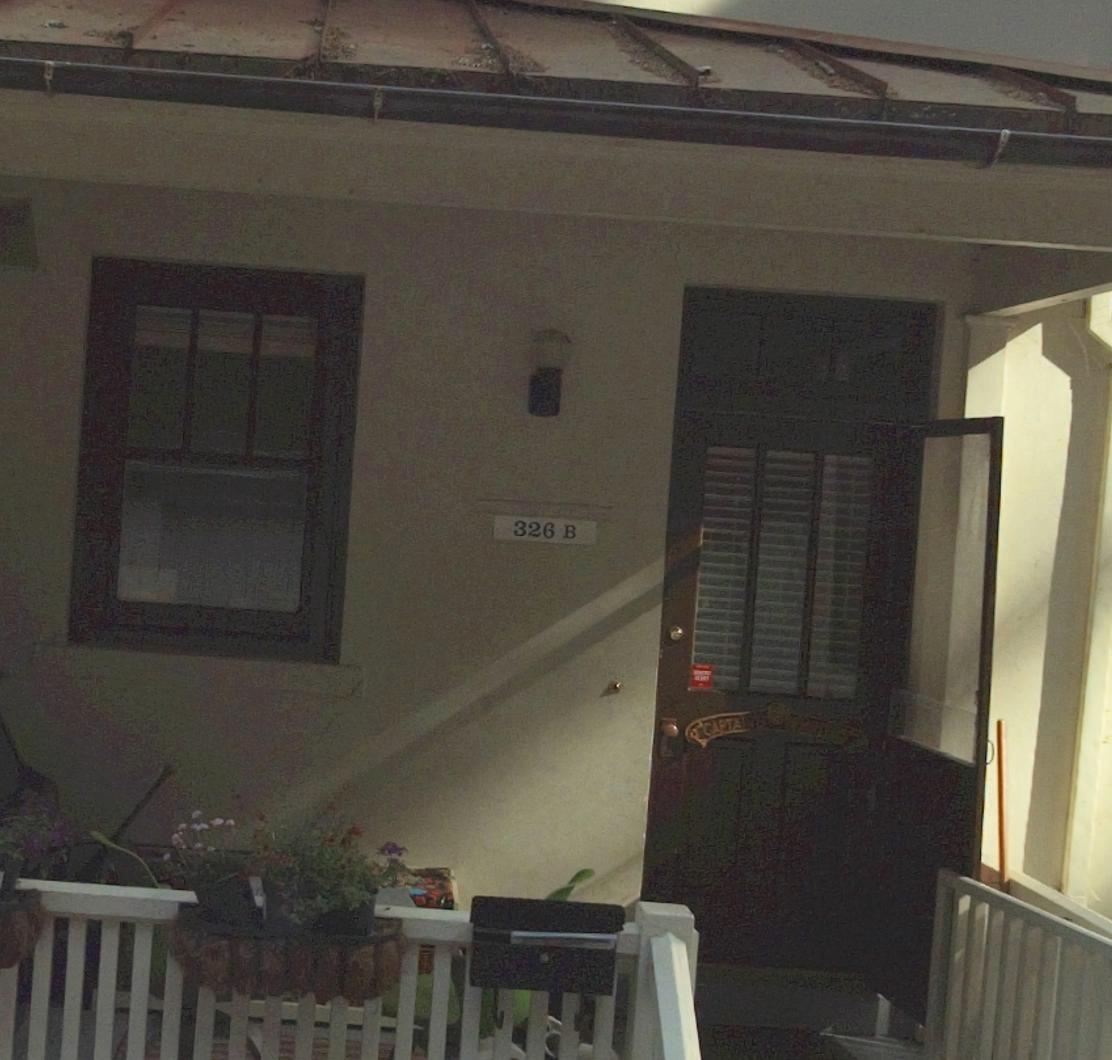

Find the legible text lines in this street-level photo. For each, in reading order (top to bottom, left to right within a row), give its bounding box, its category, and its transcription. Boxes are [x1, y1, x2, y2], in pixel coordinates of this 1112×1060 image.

[511, 518, 578, 541] StreetNumber: 326B
[698, 717, 744, 738] None: CAPTA